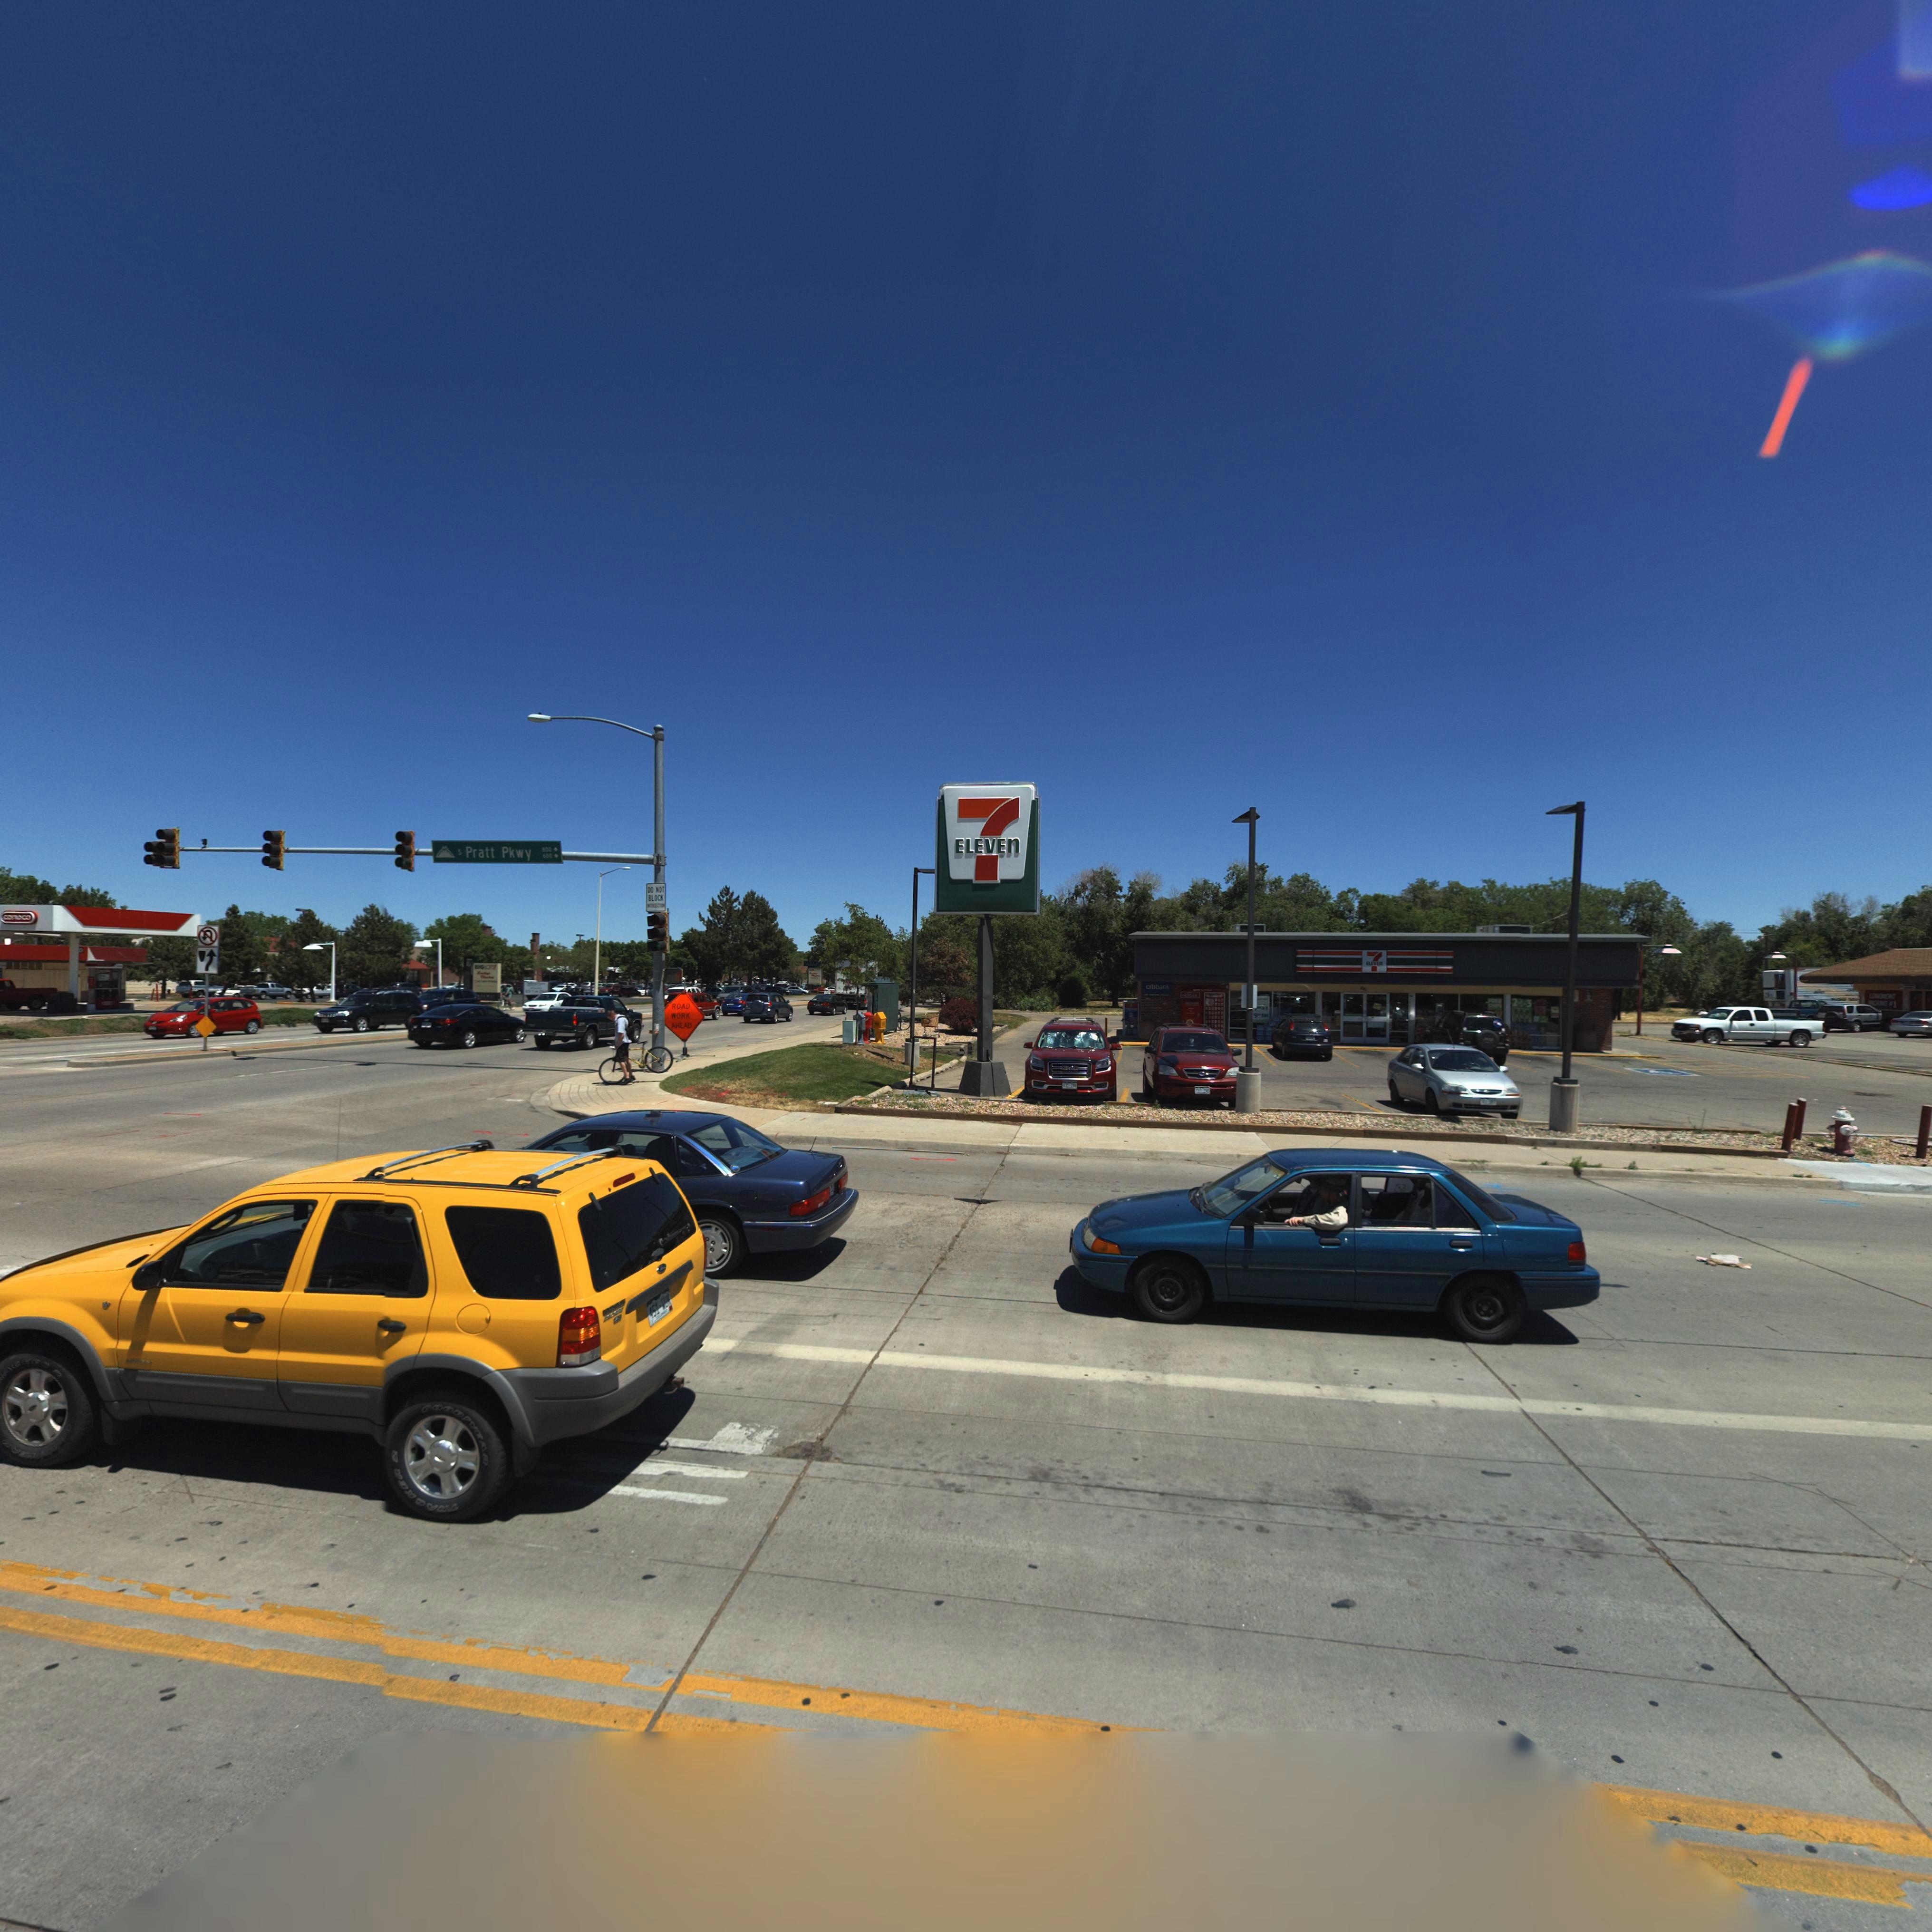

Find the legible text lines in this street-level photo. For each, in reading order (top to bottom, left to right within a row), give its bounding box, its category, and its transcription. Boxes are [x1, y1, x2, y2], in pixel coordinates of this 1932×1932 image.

[957, 795, 1020, 881] BusinessName: 7
[955, 837, 1020, 854] BusinessName: ELEVEn
[542, 847, 551, 852] StreetNumberRange: 800
[458, 846, 531, 861] StreetName: S Pratt Pkwy
[542, 853, 558, 858] StreetNumberRange: 600 ->
[3, 914, 31, 920] BusinessName: *o*o*o
[1366, 951, 1382, 971] BusinessName: 7
[1366, 961, 1383, 966] BusinessName: EL****
[474, 964, 496, 970] BusinessName: BIG *OT**